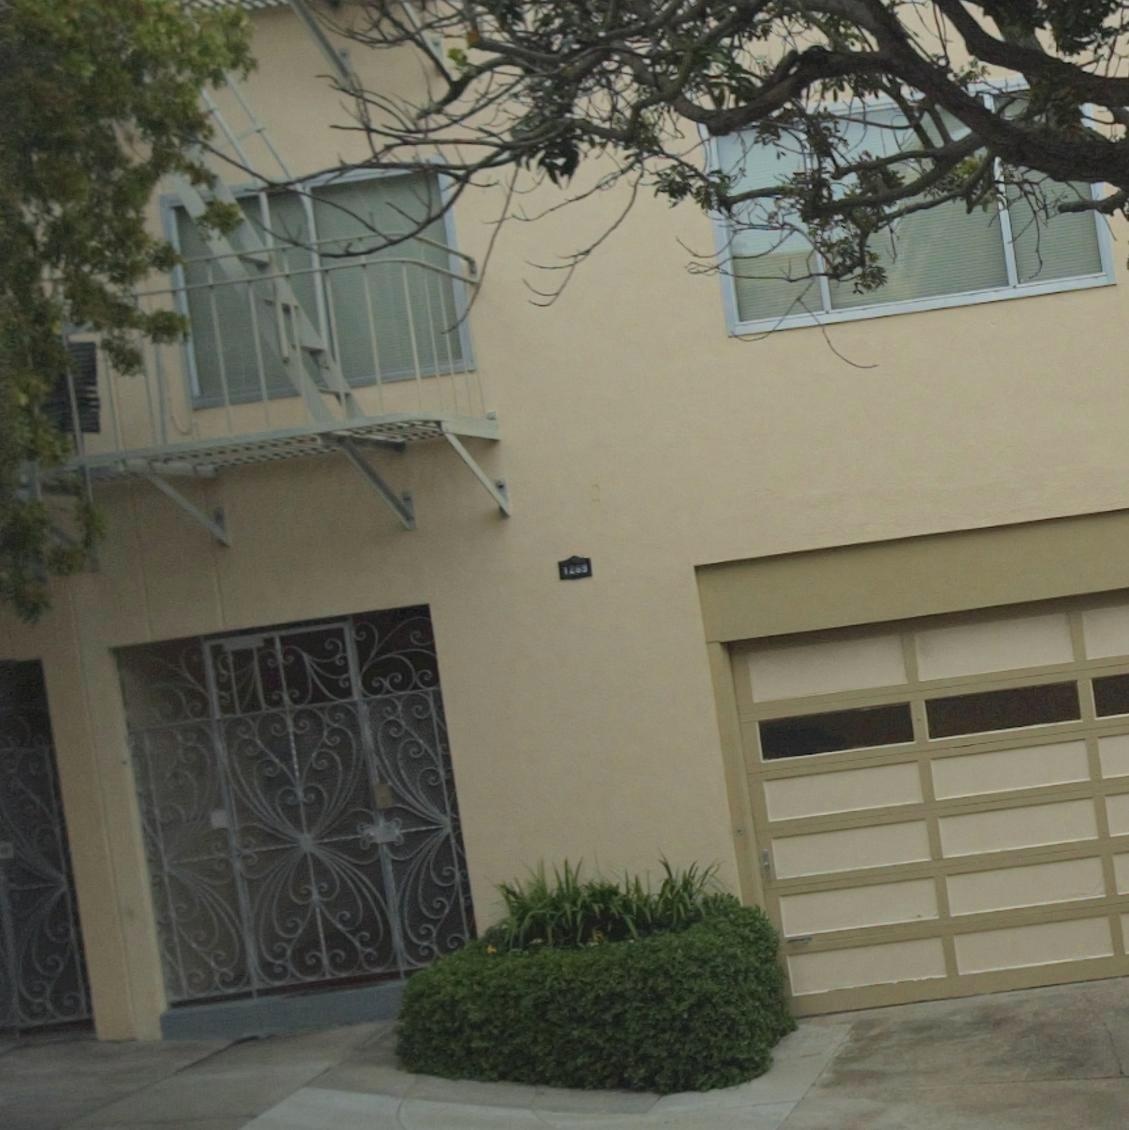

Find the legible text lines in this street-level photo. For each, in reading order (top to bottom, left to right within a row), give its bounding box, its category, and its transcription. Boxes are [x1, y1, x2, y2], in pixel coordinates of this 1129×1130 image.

[562, 563, 589, 577] StreetNumber: 1269